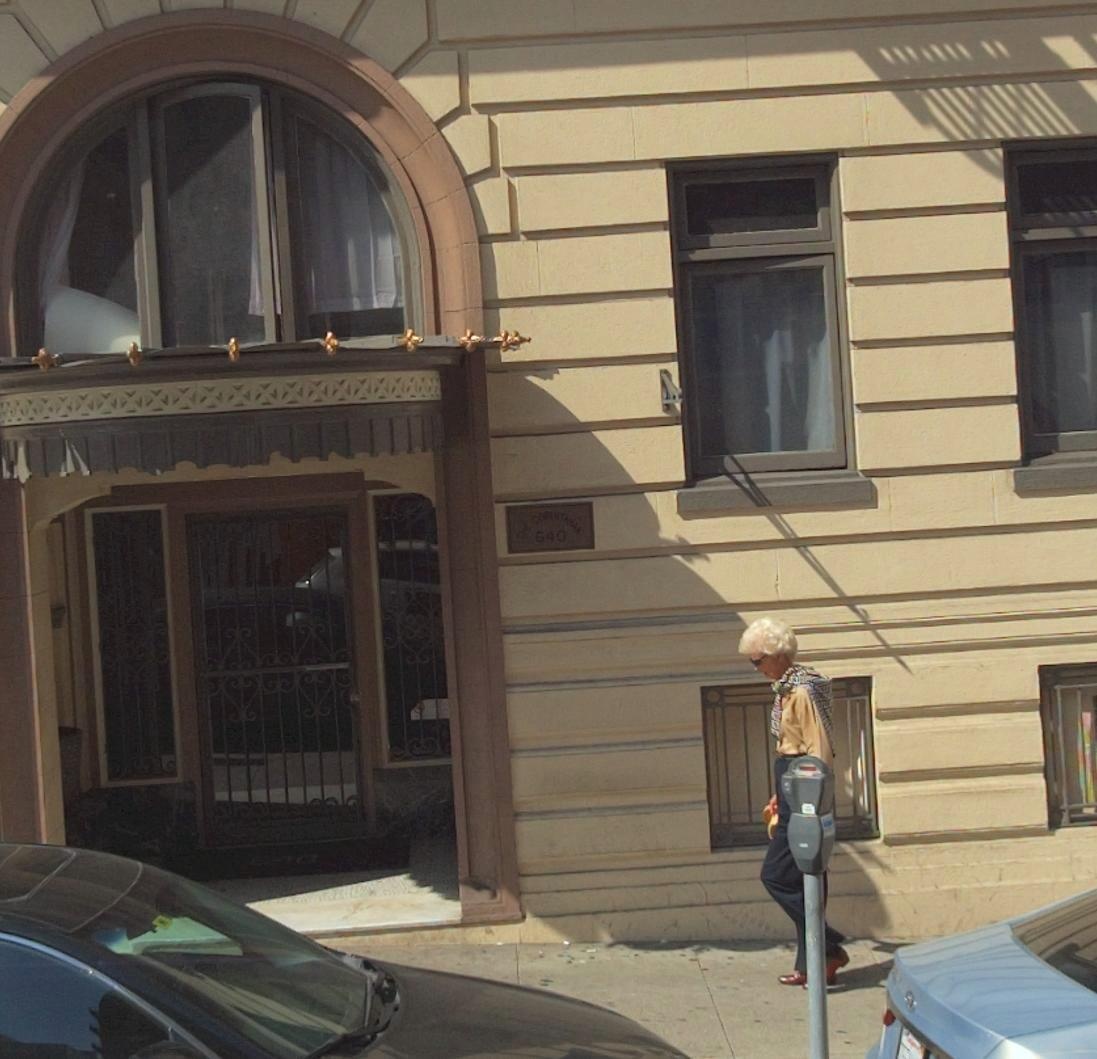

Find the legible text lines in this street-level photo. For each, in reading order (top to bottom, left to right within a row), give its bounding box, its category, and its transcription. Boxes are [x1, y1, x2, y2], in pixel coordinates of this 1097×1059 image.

[534, 529, 568, 544] StreetNumber: 640